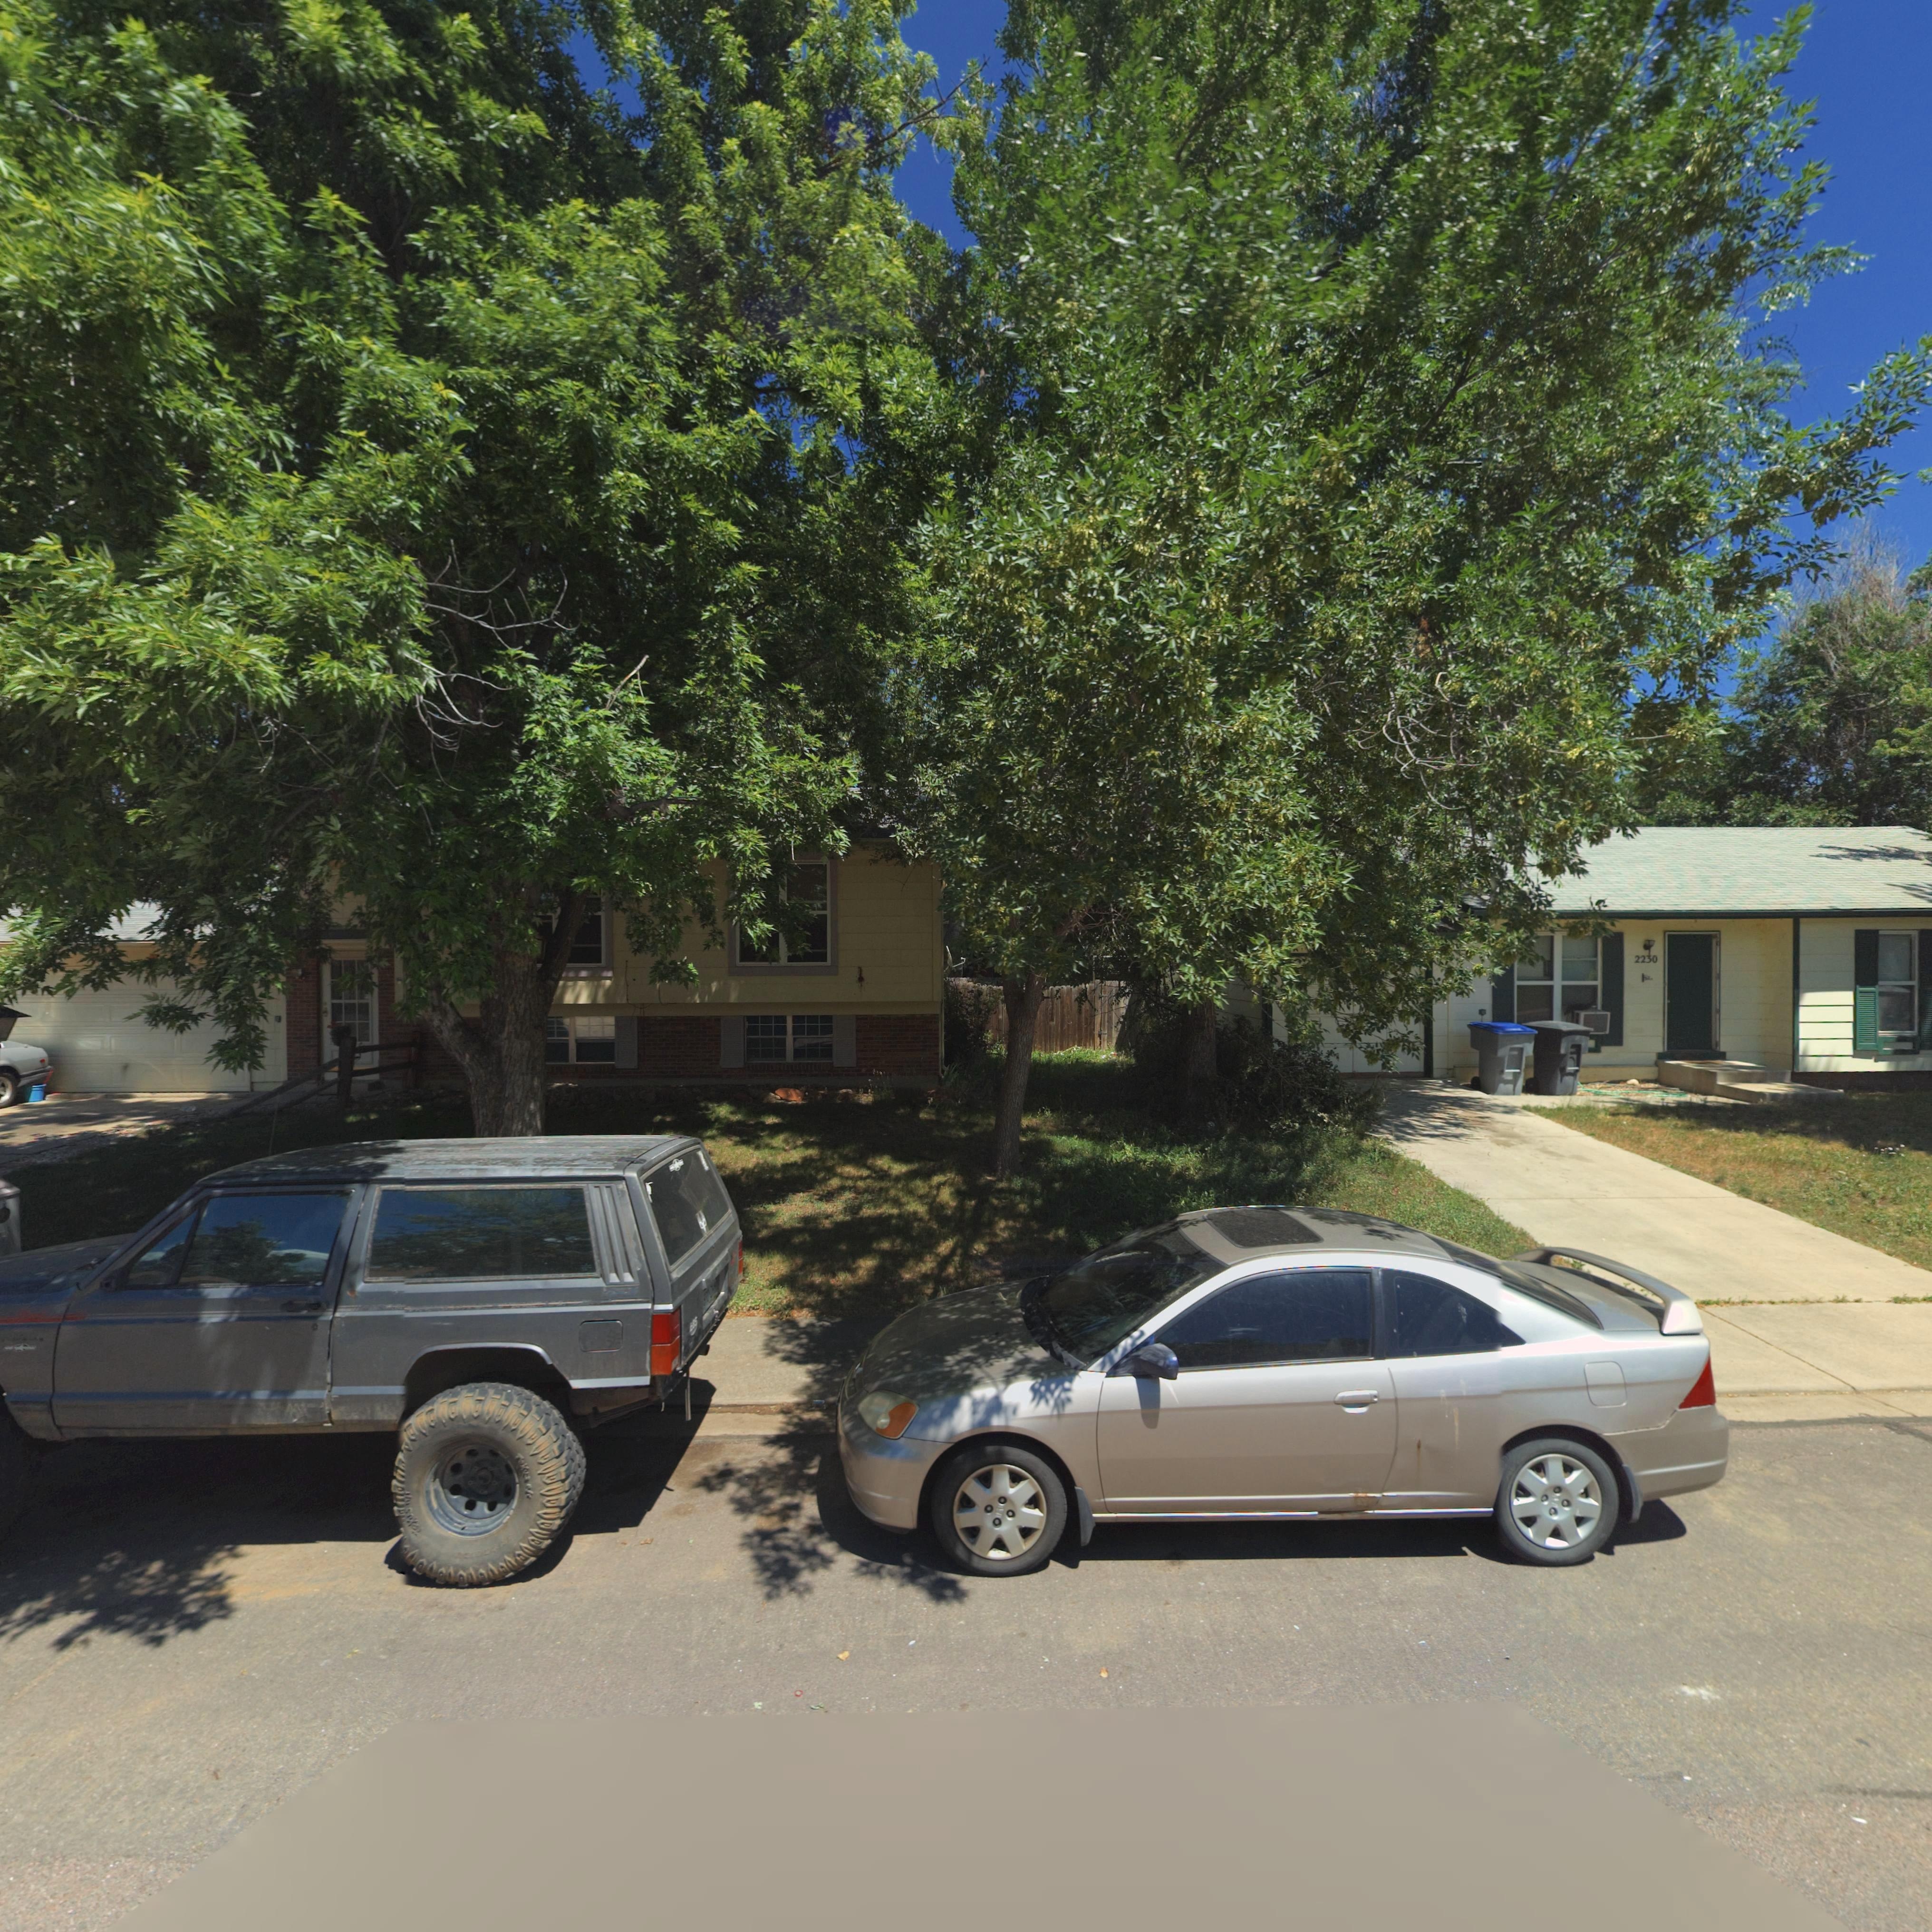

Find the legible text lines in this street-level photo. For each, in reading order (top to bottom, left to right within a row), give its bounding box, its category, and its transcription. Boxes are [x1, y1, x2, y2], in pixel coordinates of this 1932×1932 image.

[1634, 954, 1658, 964] StreetNumber: 2230